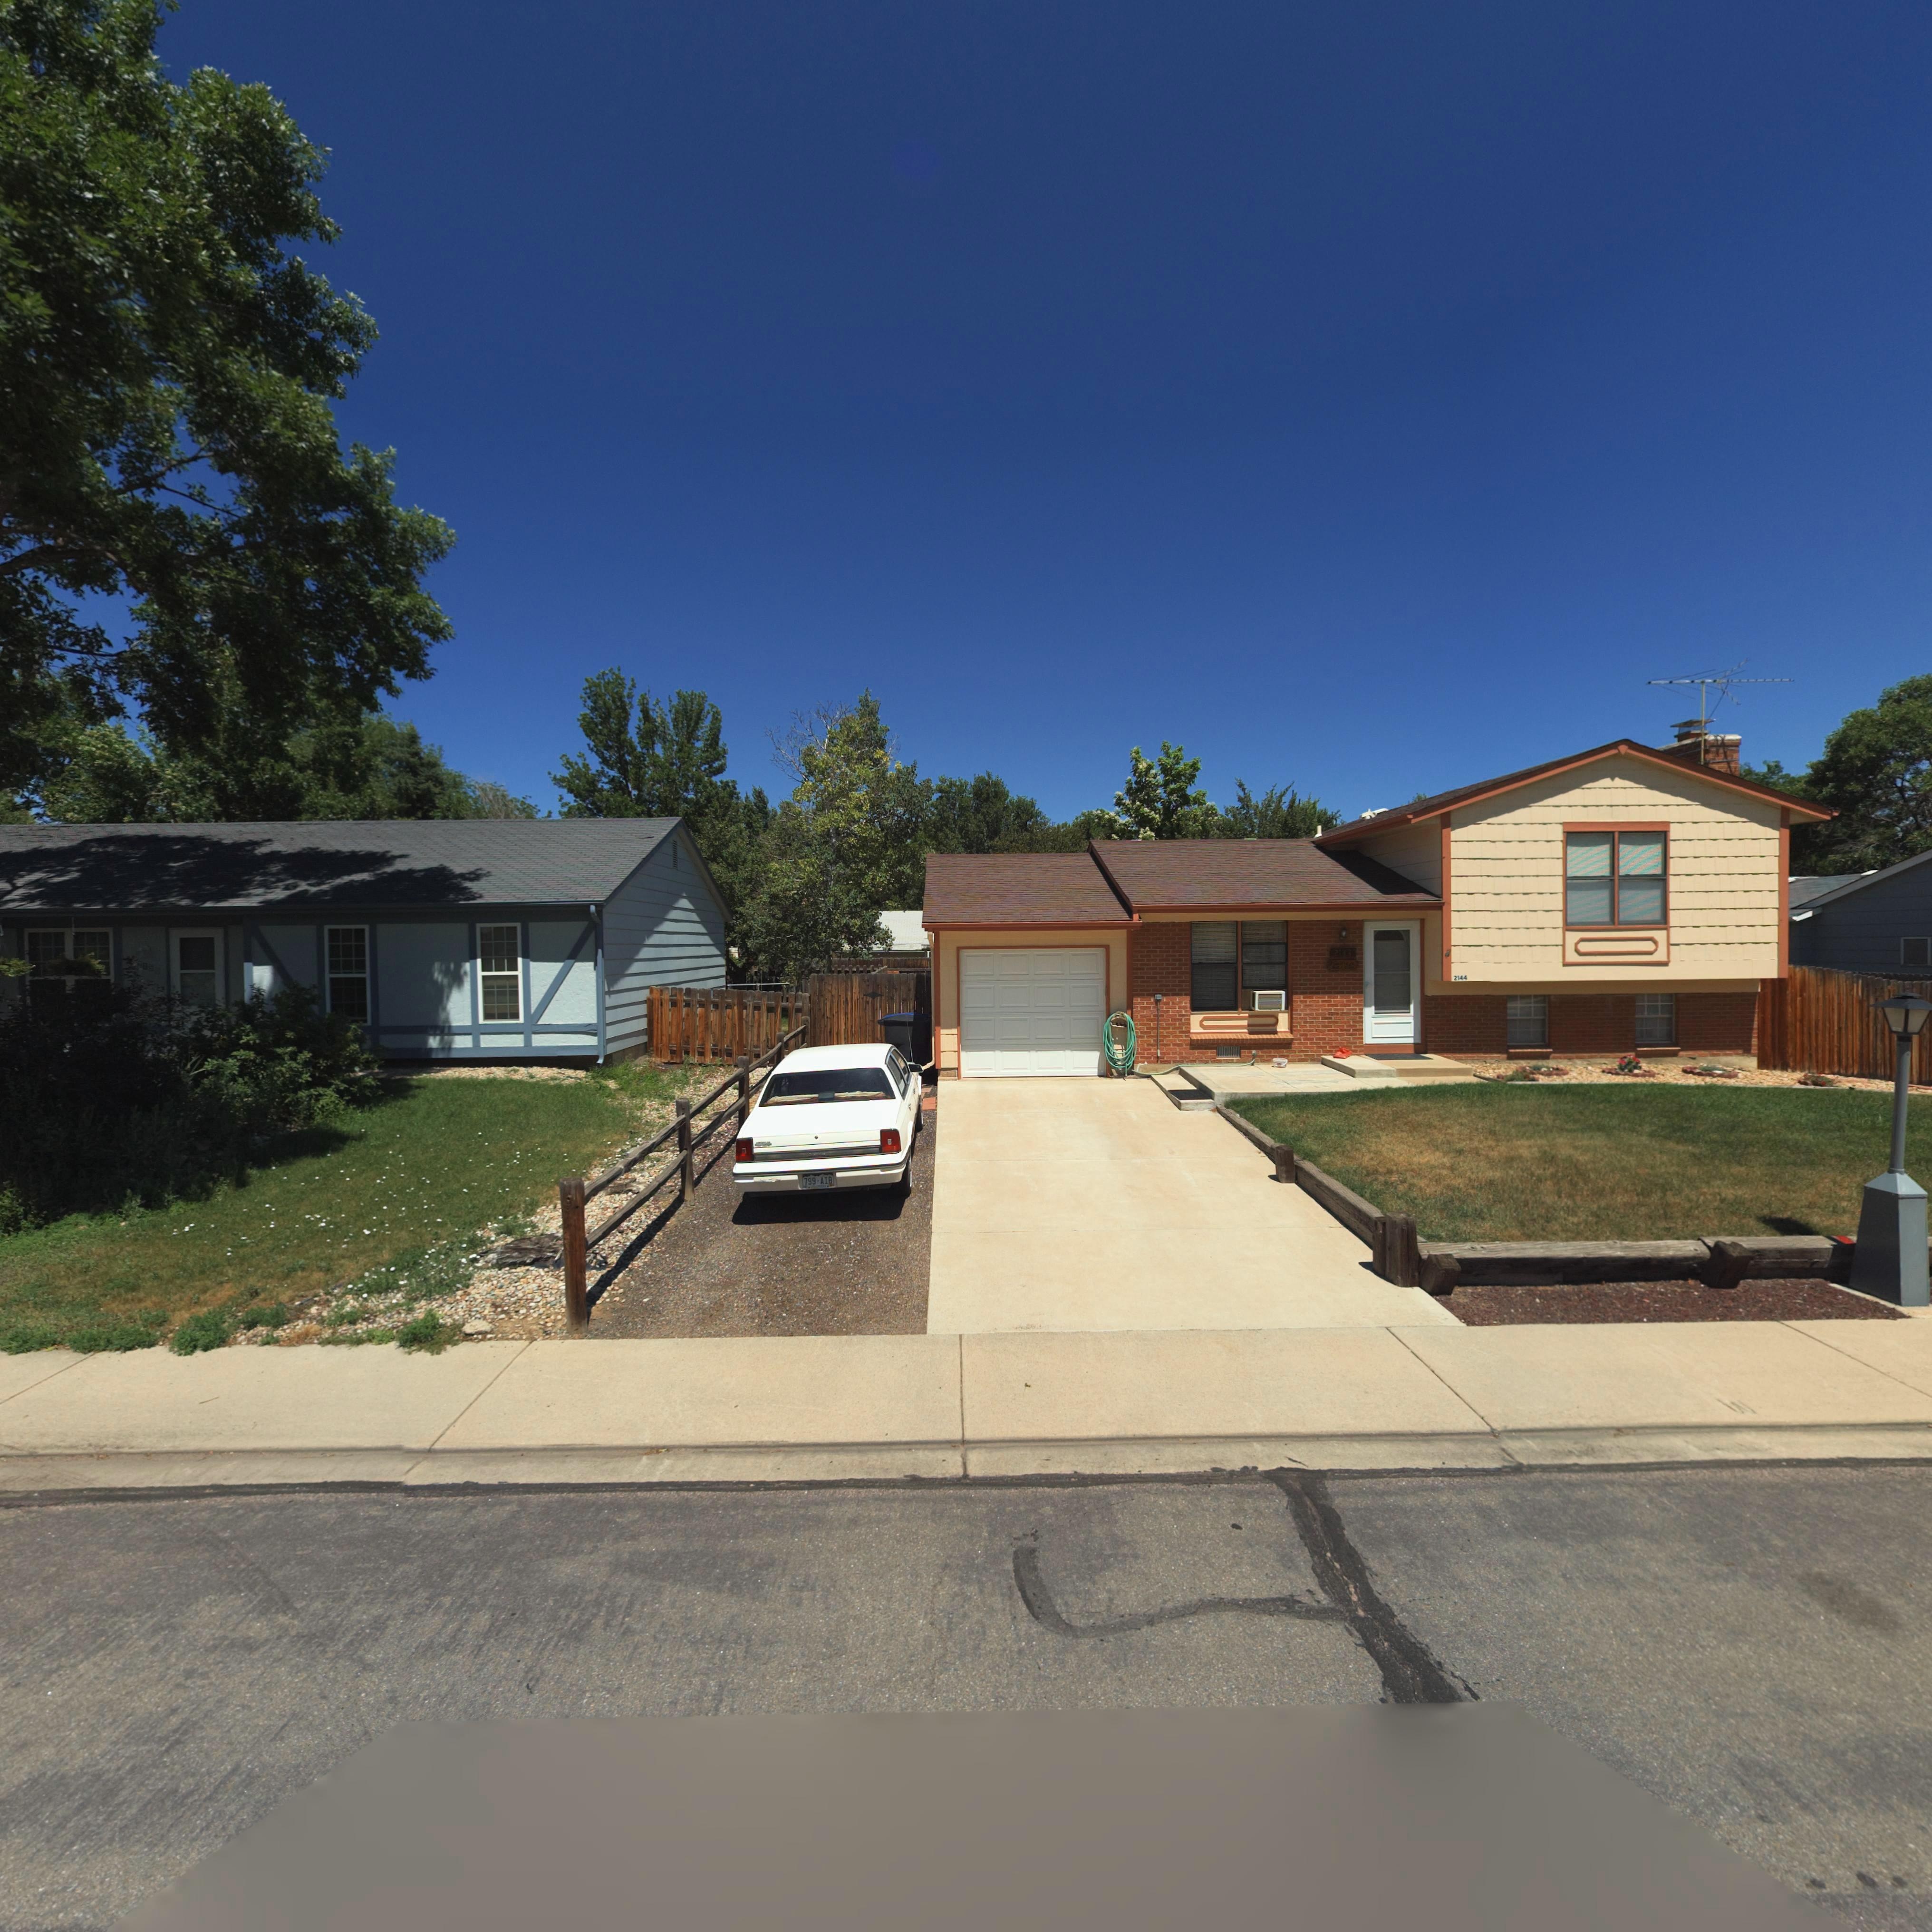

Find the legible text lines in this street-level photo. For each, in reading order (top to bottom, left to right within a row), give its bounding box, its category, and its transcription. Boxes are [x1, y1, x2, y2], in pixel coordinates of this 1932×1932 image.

[1333, 949, 1352, 957] StreetNumber: 2144
[135, 959, 162, 975] StreetNumber: 2*5*
[1453, 974, 1468, 981] StreetNumber: 2144